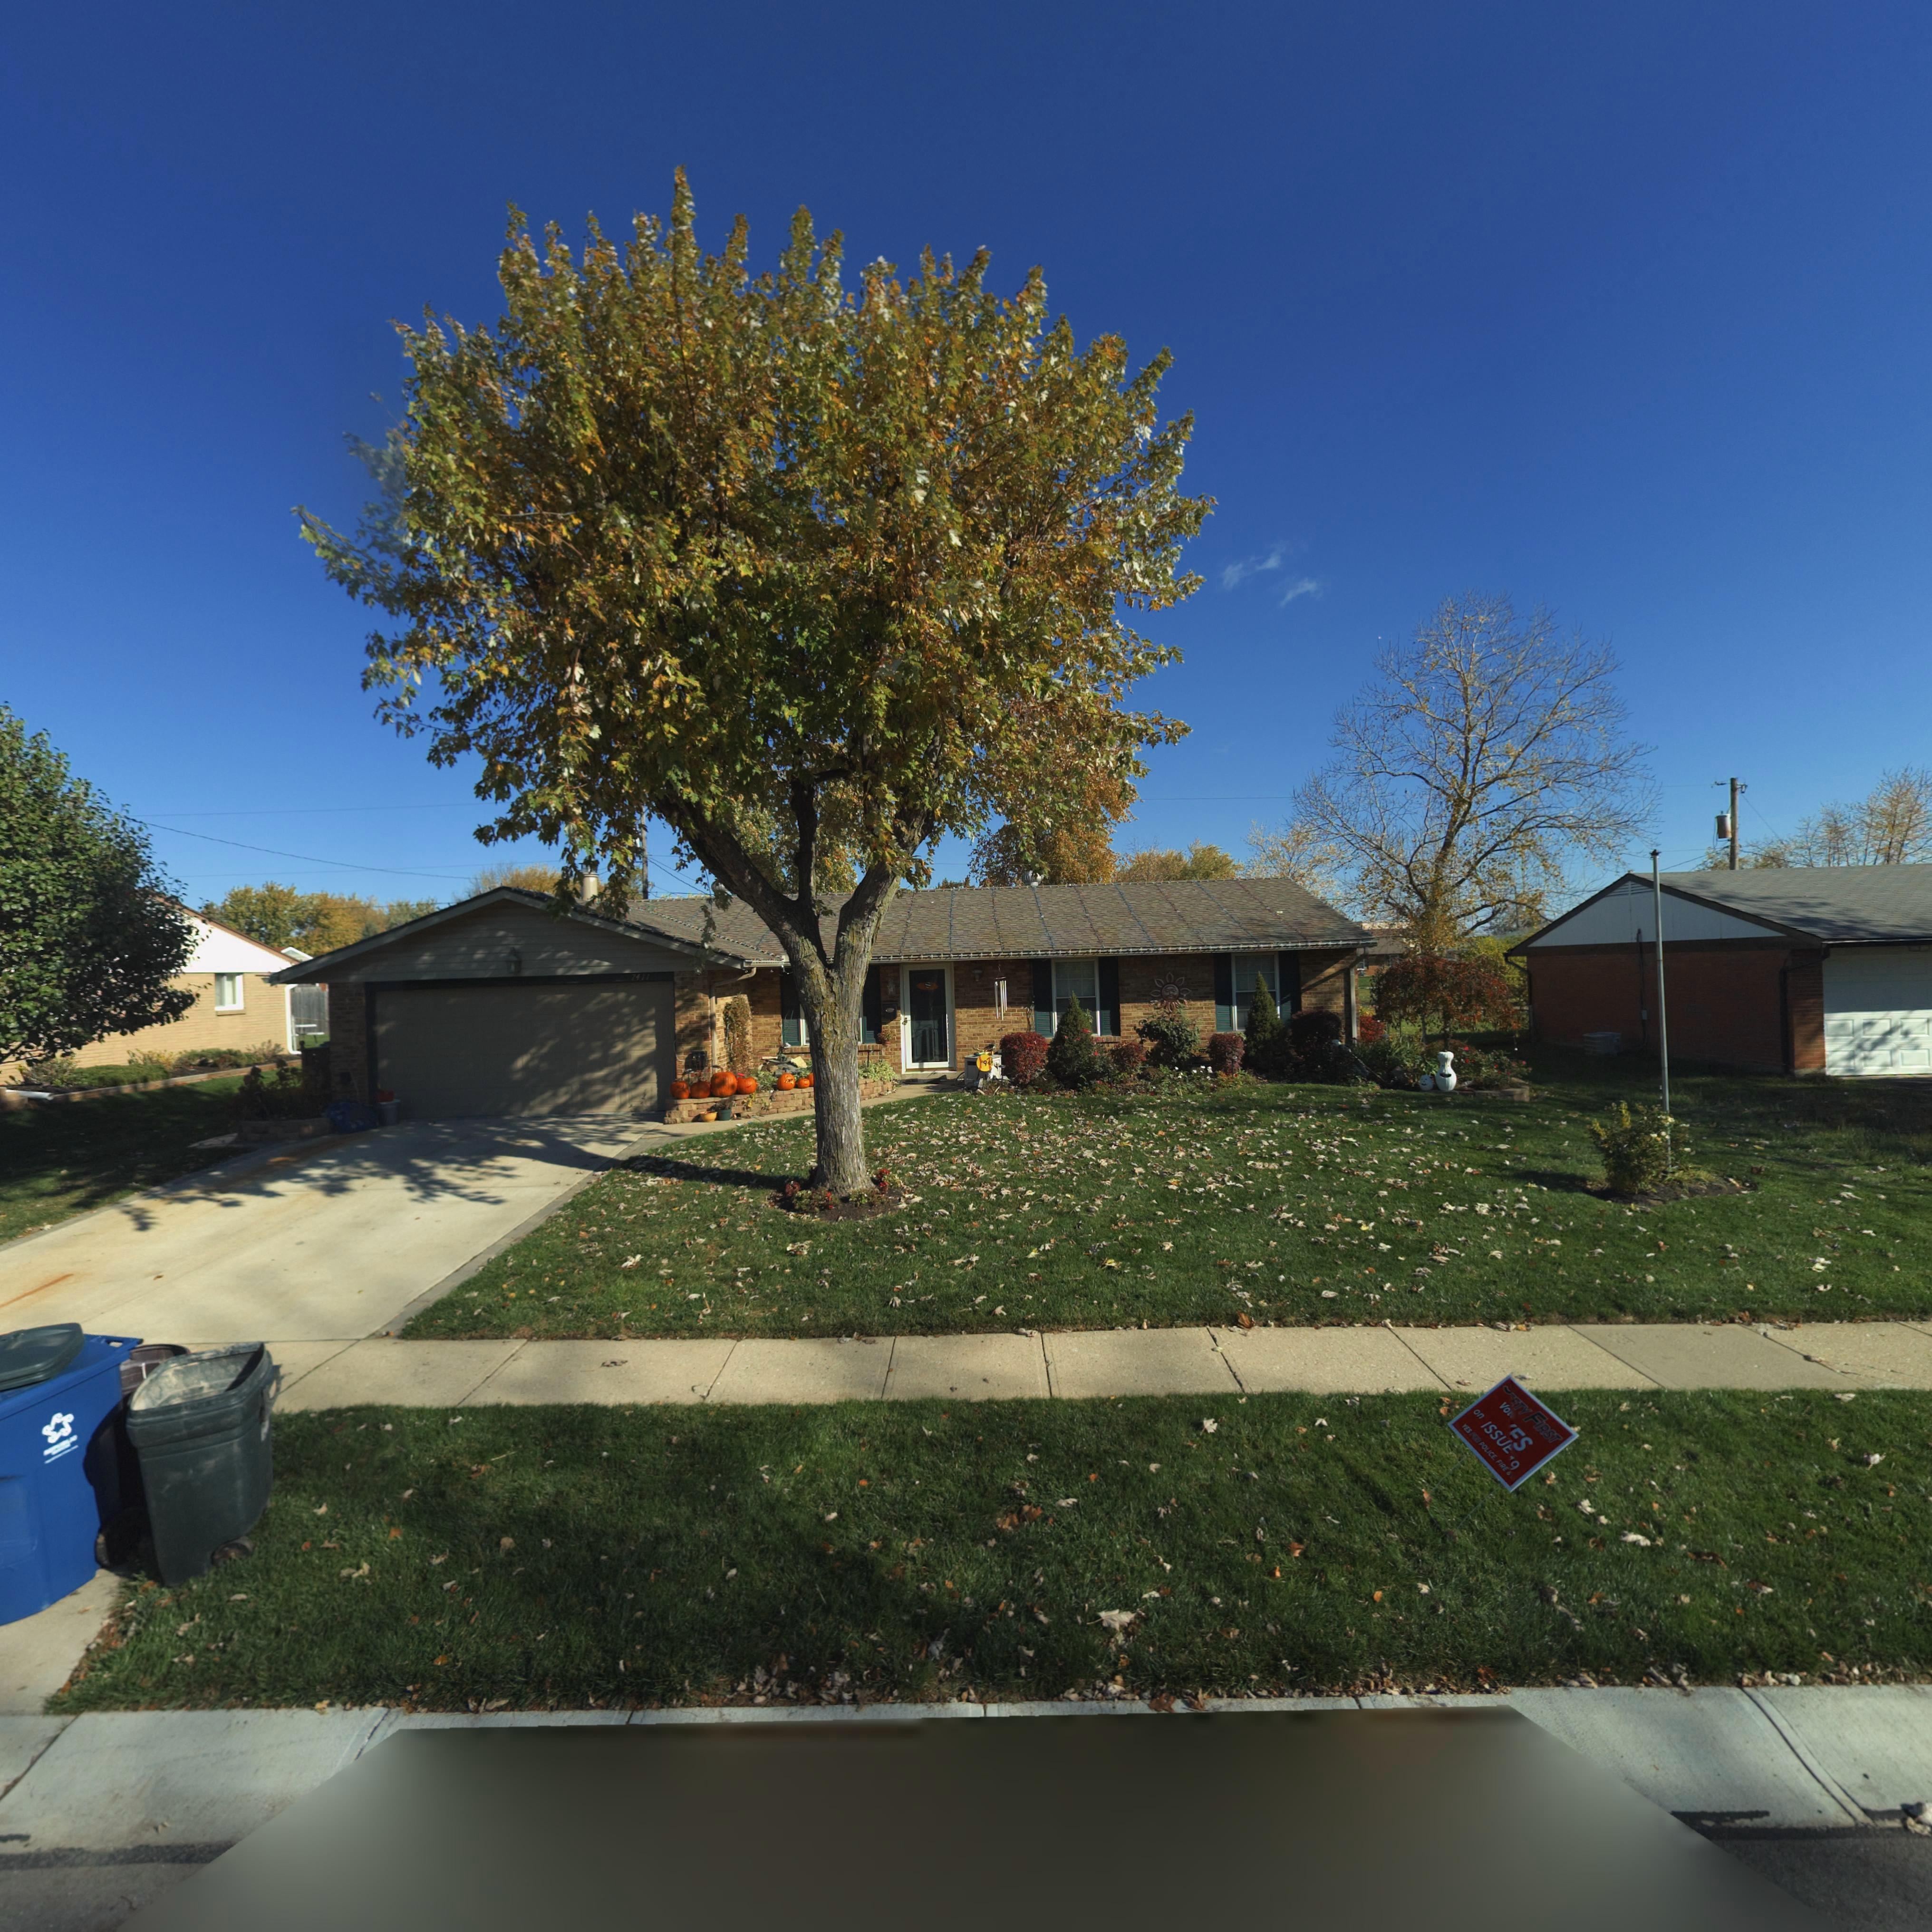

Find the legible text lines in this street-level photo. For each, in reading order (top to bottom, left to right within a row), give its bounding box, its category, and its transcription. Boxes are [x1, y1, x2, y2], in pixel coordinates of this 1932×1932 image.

[630, 973, 651, 982] StreetNumber: 7411